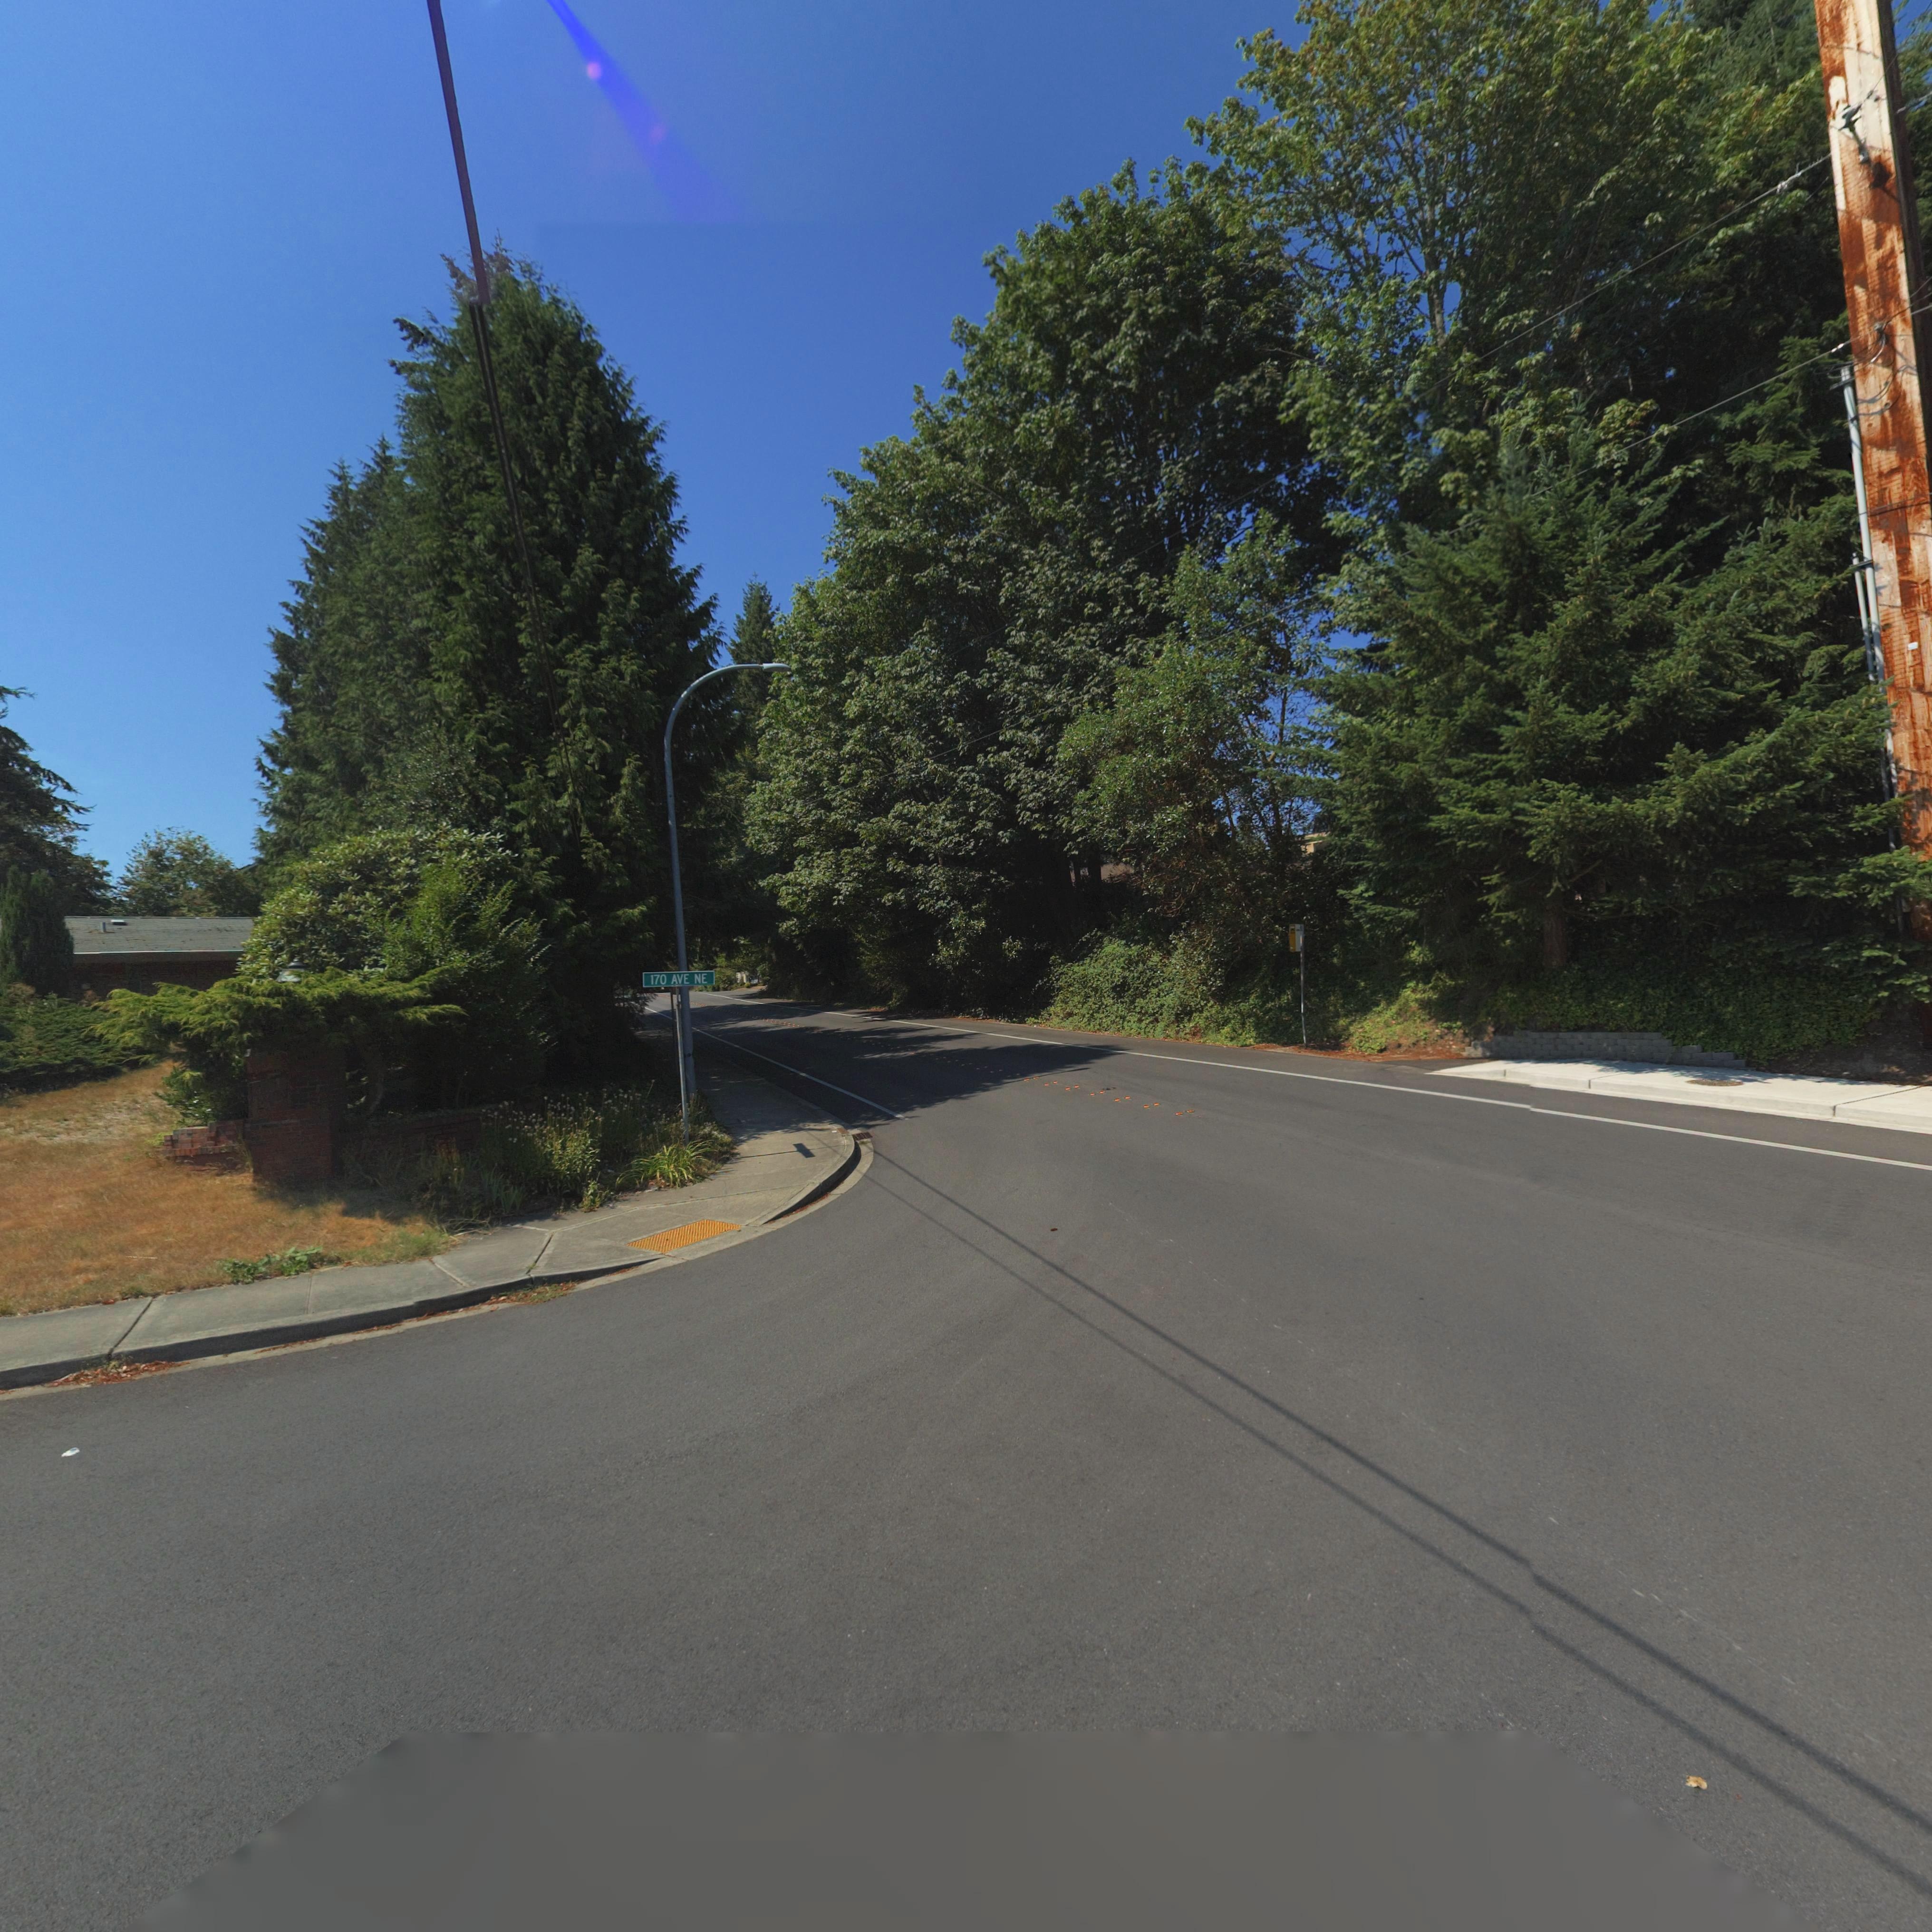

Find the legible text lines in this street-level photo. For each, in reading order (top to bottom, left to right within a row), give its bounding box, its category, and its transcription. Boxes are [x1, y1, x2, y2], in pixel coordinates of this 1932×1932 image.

[650, 972, 707, 985] StreetName: 170 AVE NE